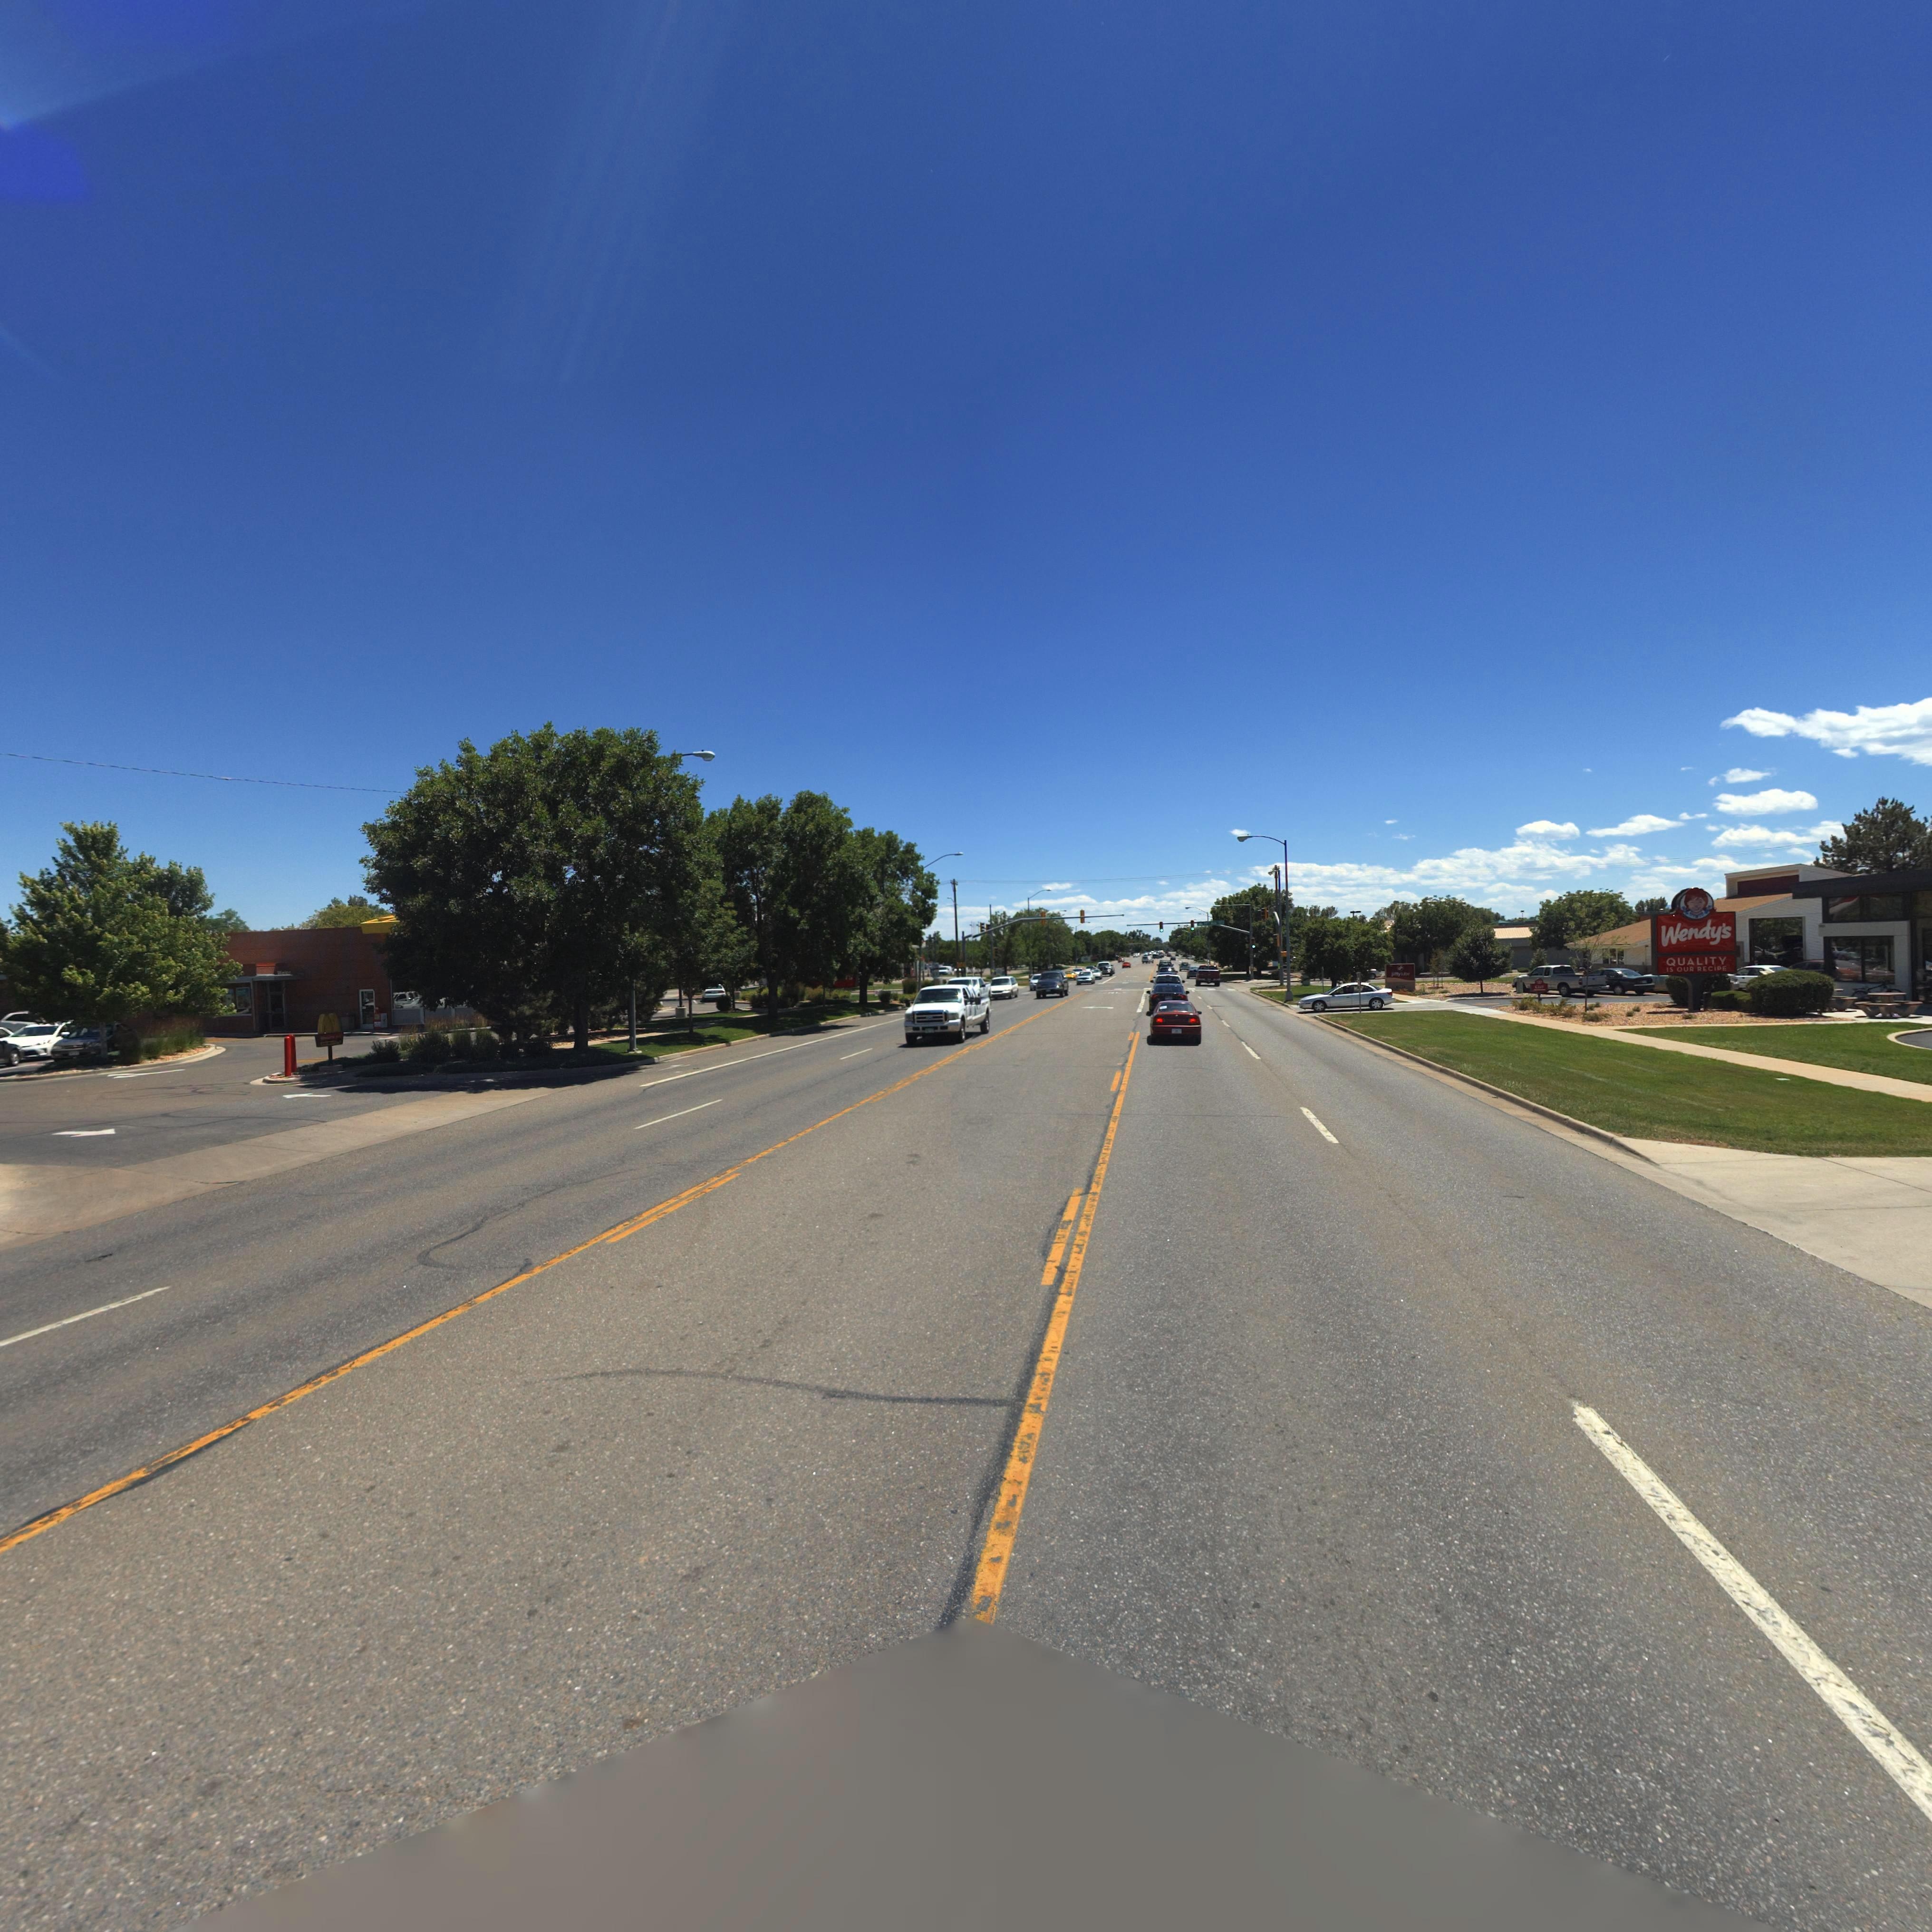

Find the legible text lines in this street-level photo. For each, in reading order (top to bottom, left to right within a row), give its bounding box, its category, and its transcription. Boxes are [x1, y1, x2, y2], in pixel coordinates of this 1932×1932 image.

[1203, 921, 1217, 925] StreetName: 11** **e
[1660, 918, 1732, 948] BusinessName: Wendy's
[1391, 971, 1410, 977] BusinessName: jiffylube
[1397, 985, 1404, 988] StreetNumber: 1***